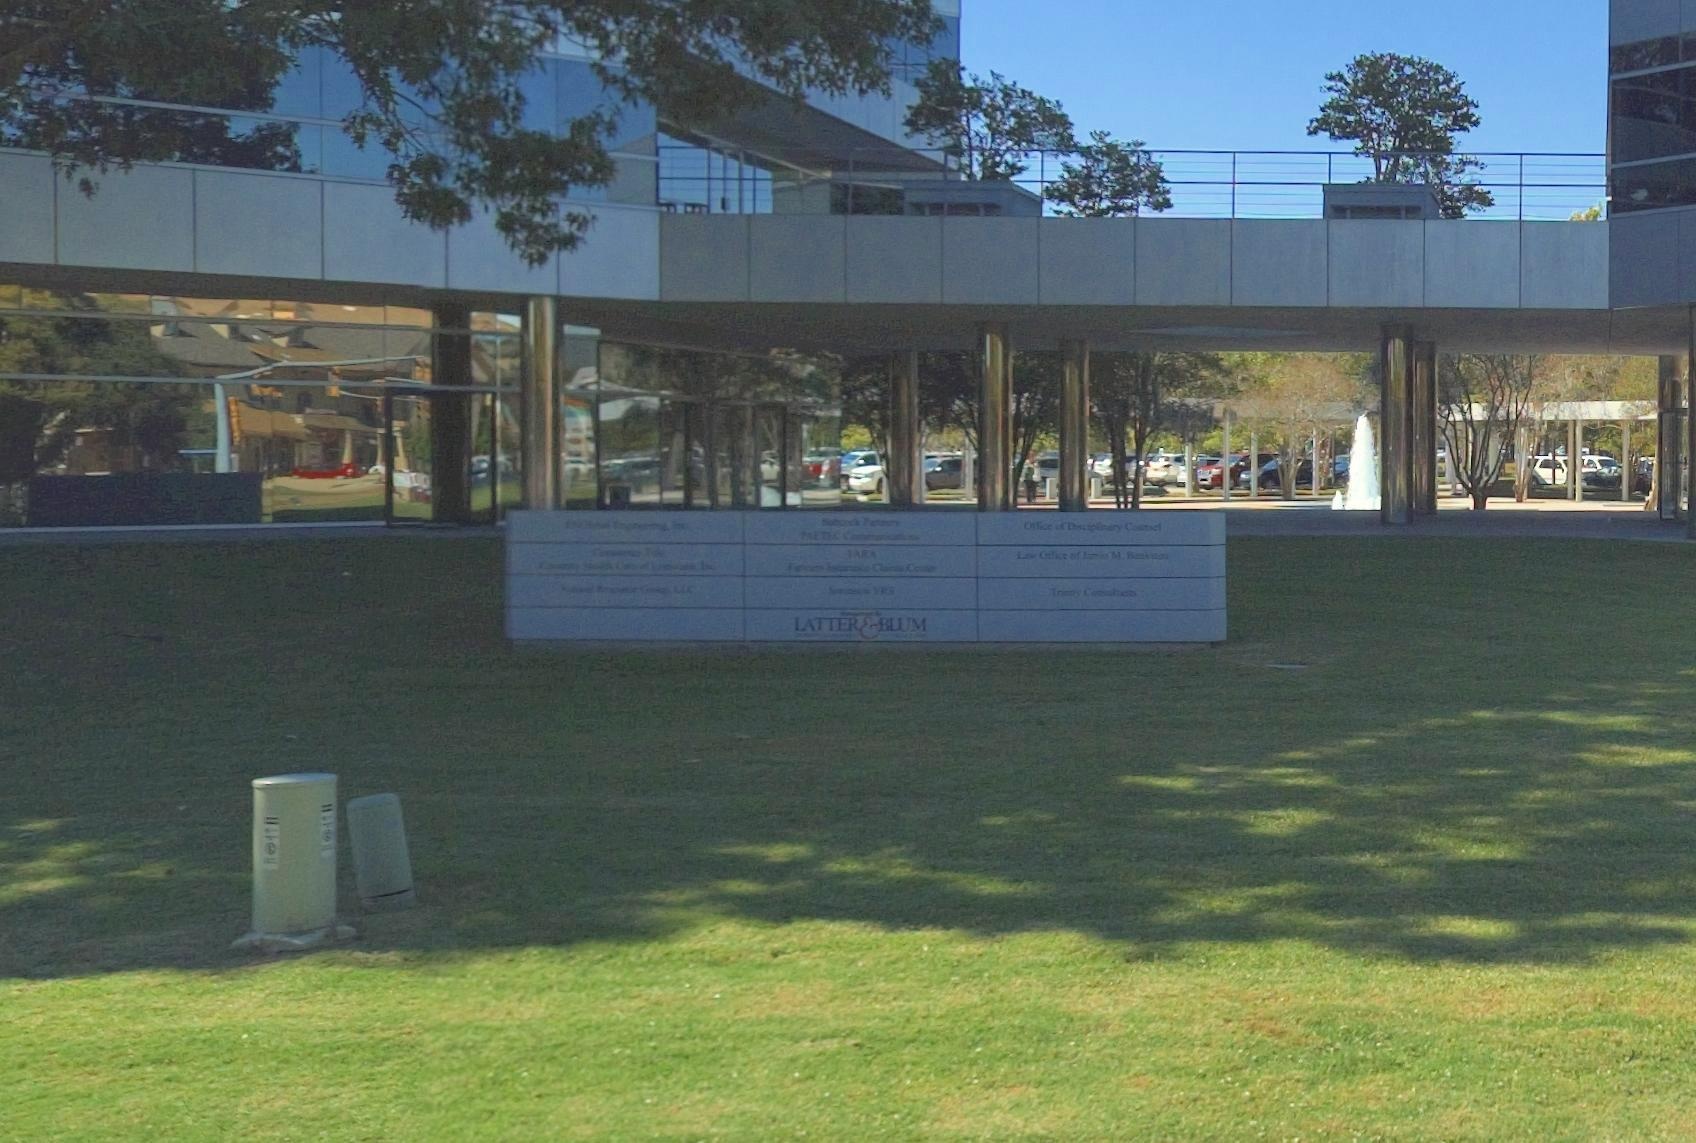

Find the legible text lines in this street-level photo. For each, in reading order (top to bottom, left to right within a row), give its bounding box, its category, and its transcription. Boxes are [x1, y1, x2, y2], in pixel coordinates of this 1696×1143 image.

[1020, 518, 1078, 533] BusinessName: Off*ce ** D
[1121, 519, 1140, 533] BusinessName: Co
[839, 545, 883, 564] BusinessName: JA*A
[1013, 546, 1084, 564] BusinessName: L** Office of
[1108, 548, 1123, 563] BusinessName: M
[671, 580, 698, 598] BusinessName: LLC
[792, 612, 930, 635] BusinessName: LATTER*BLUM